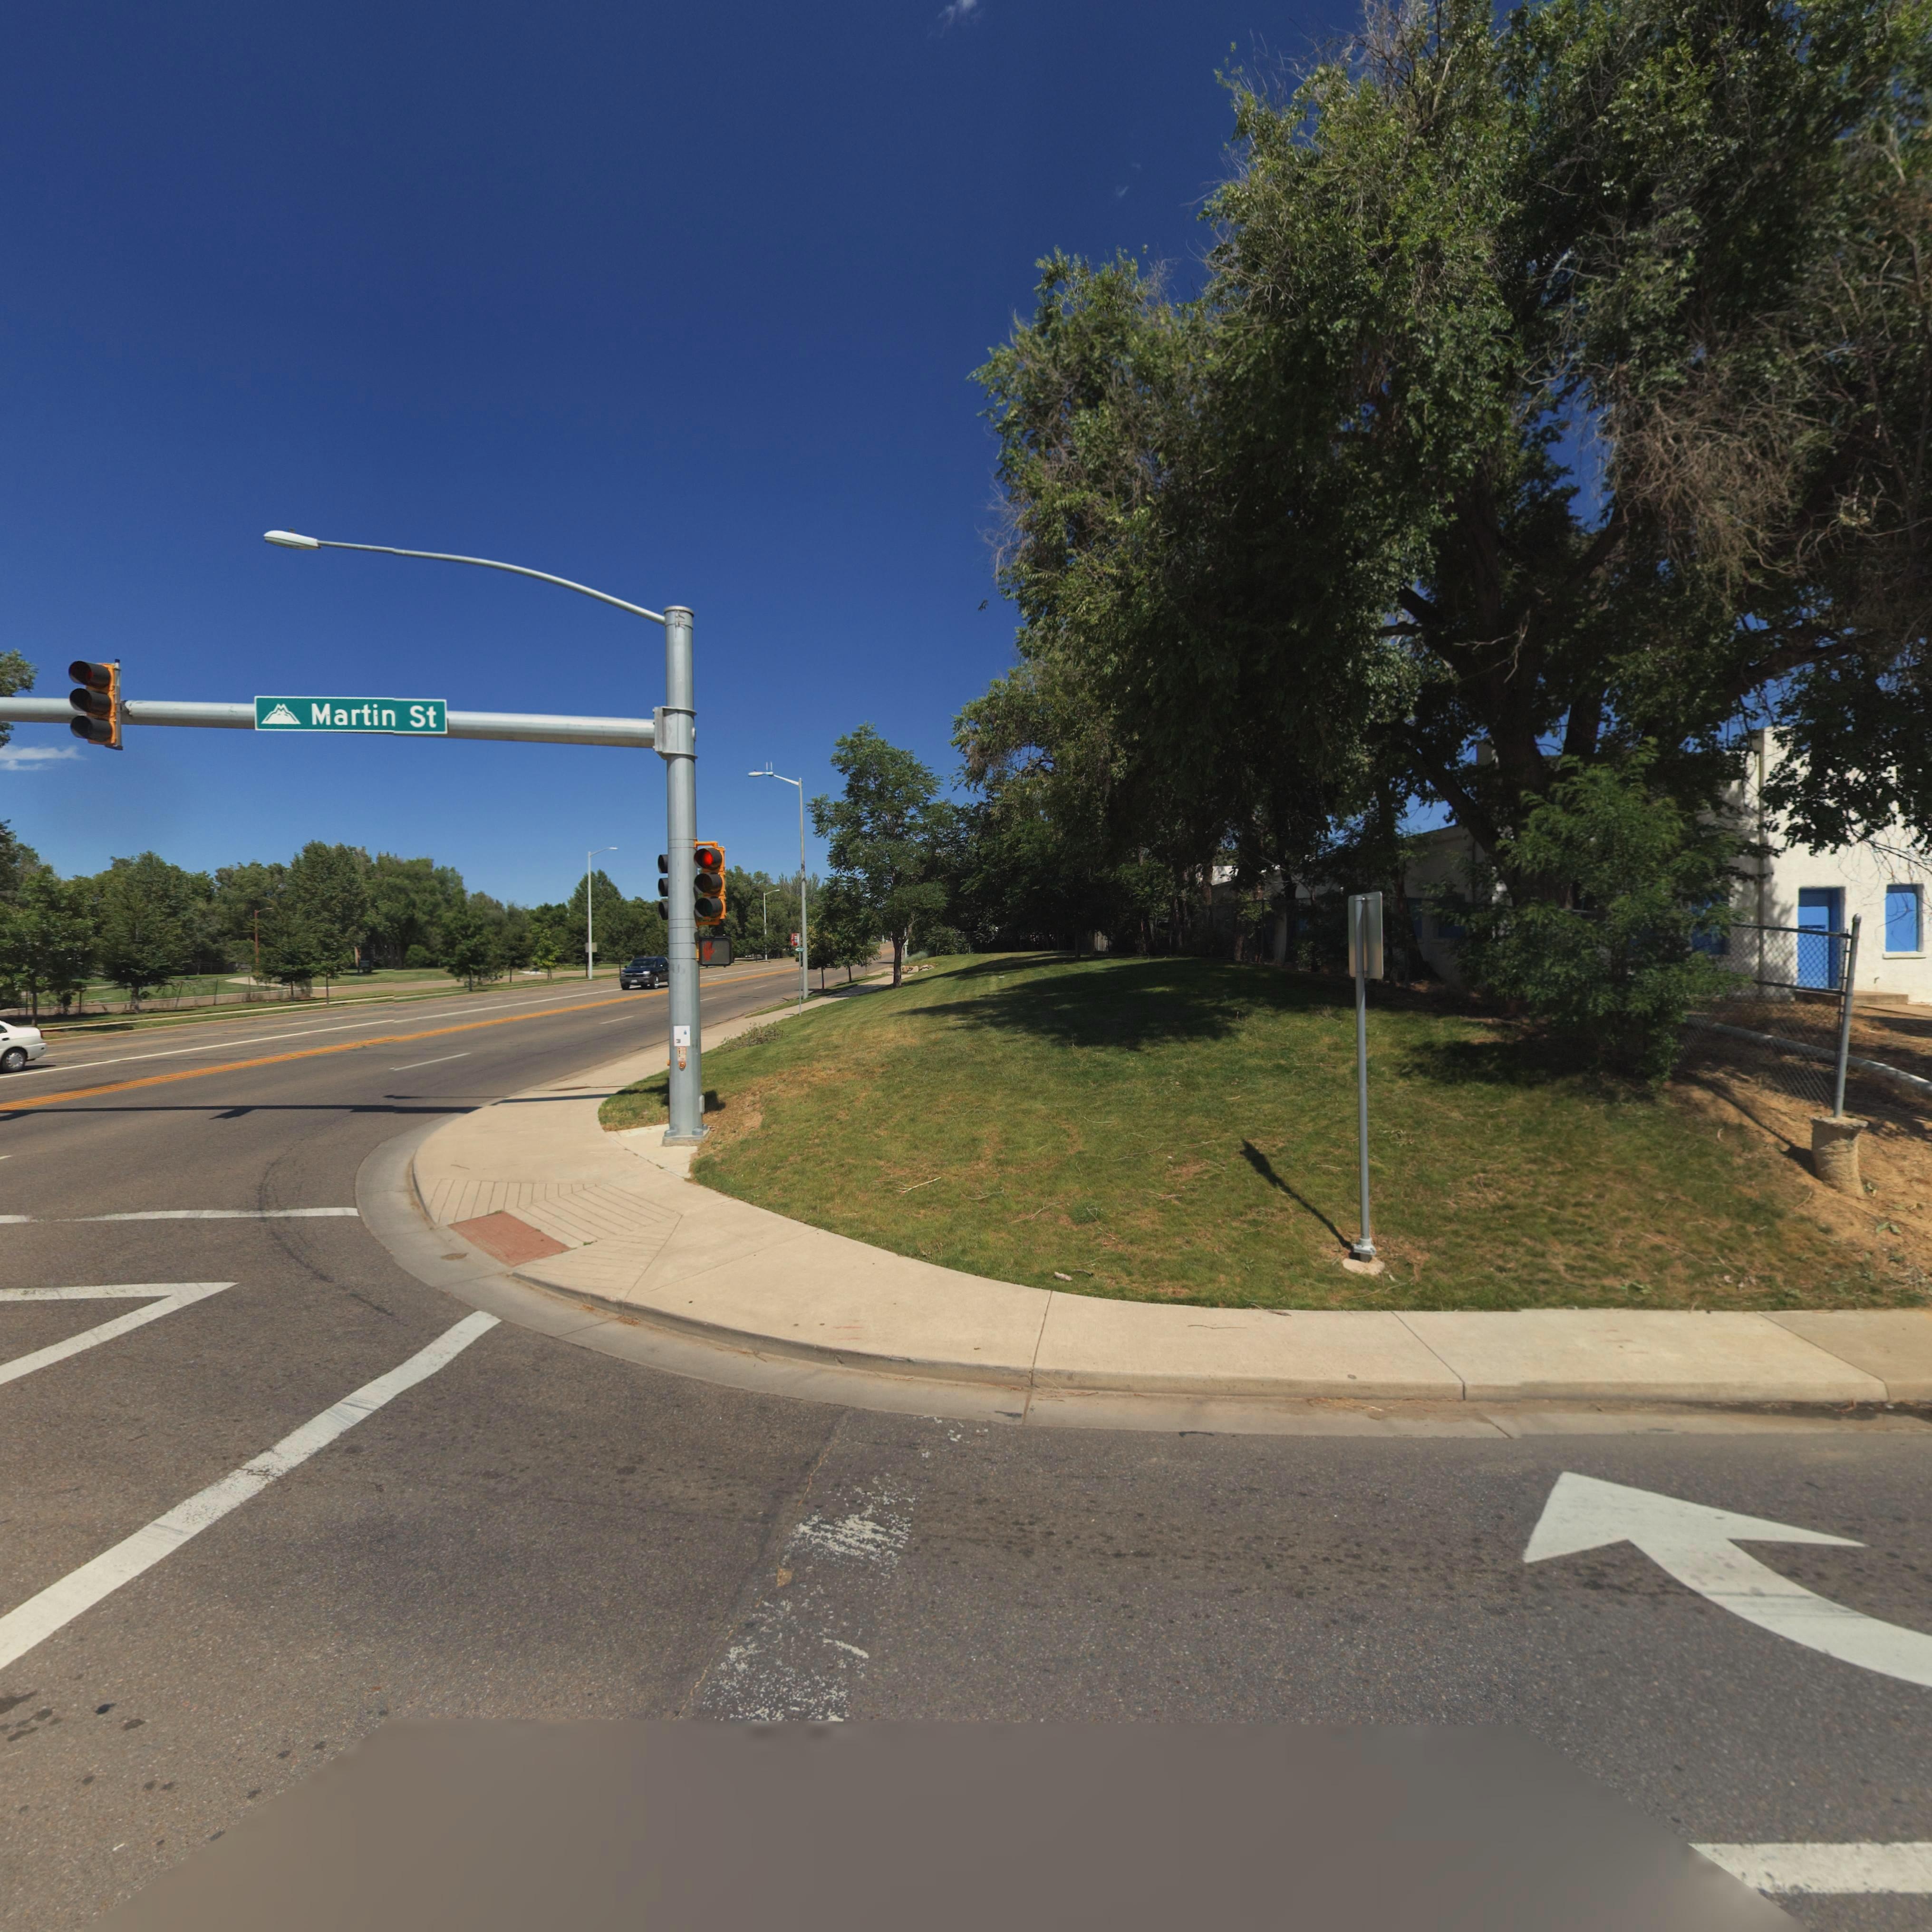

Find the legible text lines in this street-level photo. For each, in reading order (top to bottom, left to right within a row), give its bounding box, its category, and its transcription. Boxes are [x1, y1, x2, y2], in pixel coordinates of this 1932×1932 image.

[311, 703, 437, 728] StreetName: Martin St